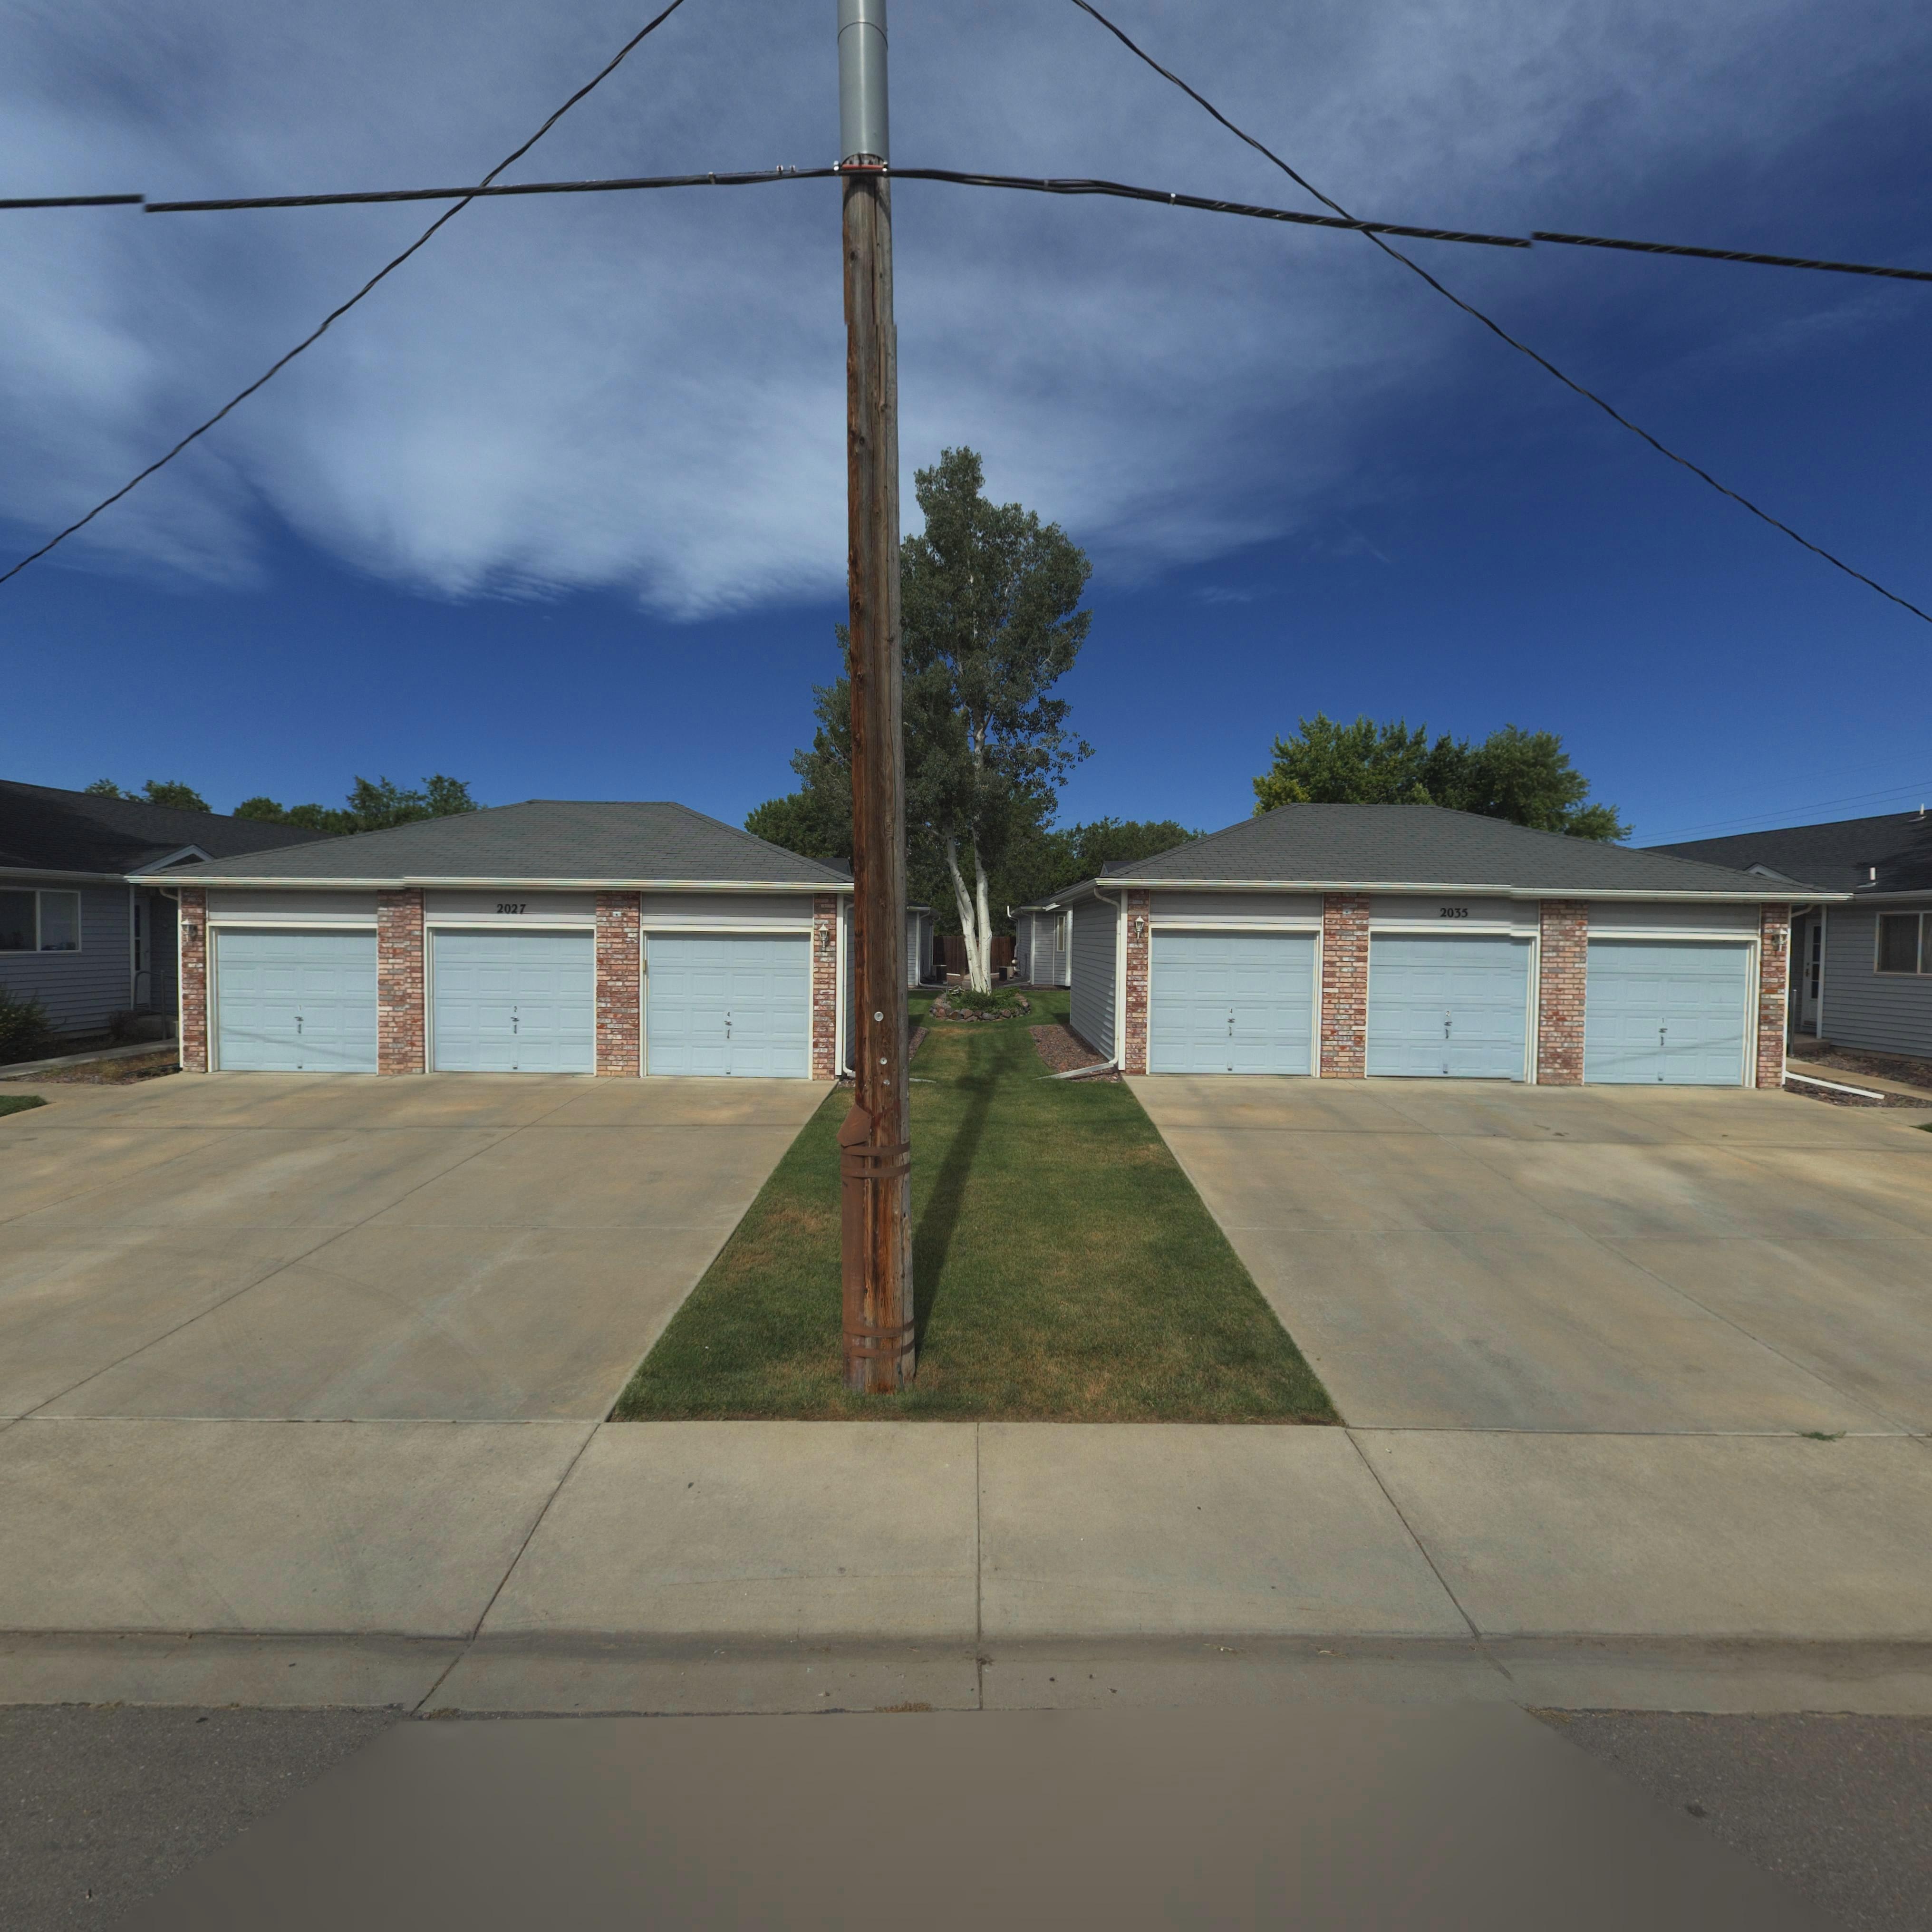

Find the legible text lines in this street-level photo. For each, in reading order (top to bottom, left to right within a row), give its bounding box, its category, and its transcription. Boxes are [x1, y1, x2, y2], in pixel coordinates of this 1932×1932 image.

[496, 903, 527, 914] StreetNumber: 2027
[1439, 907, 1468, 918] StreetNumber: 2035